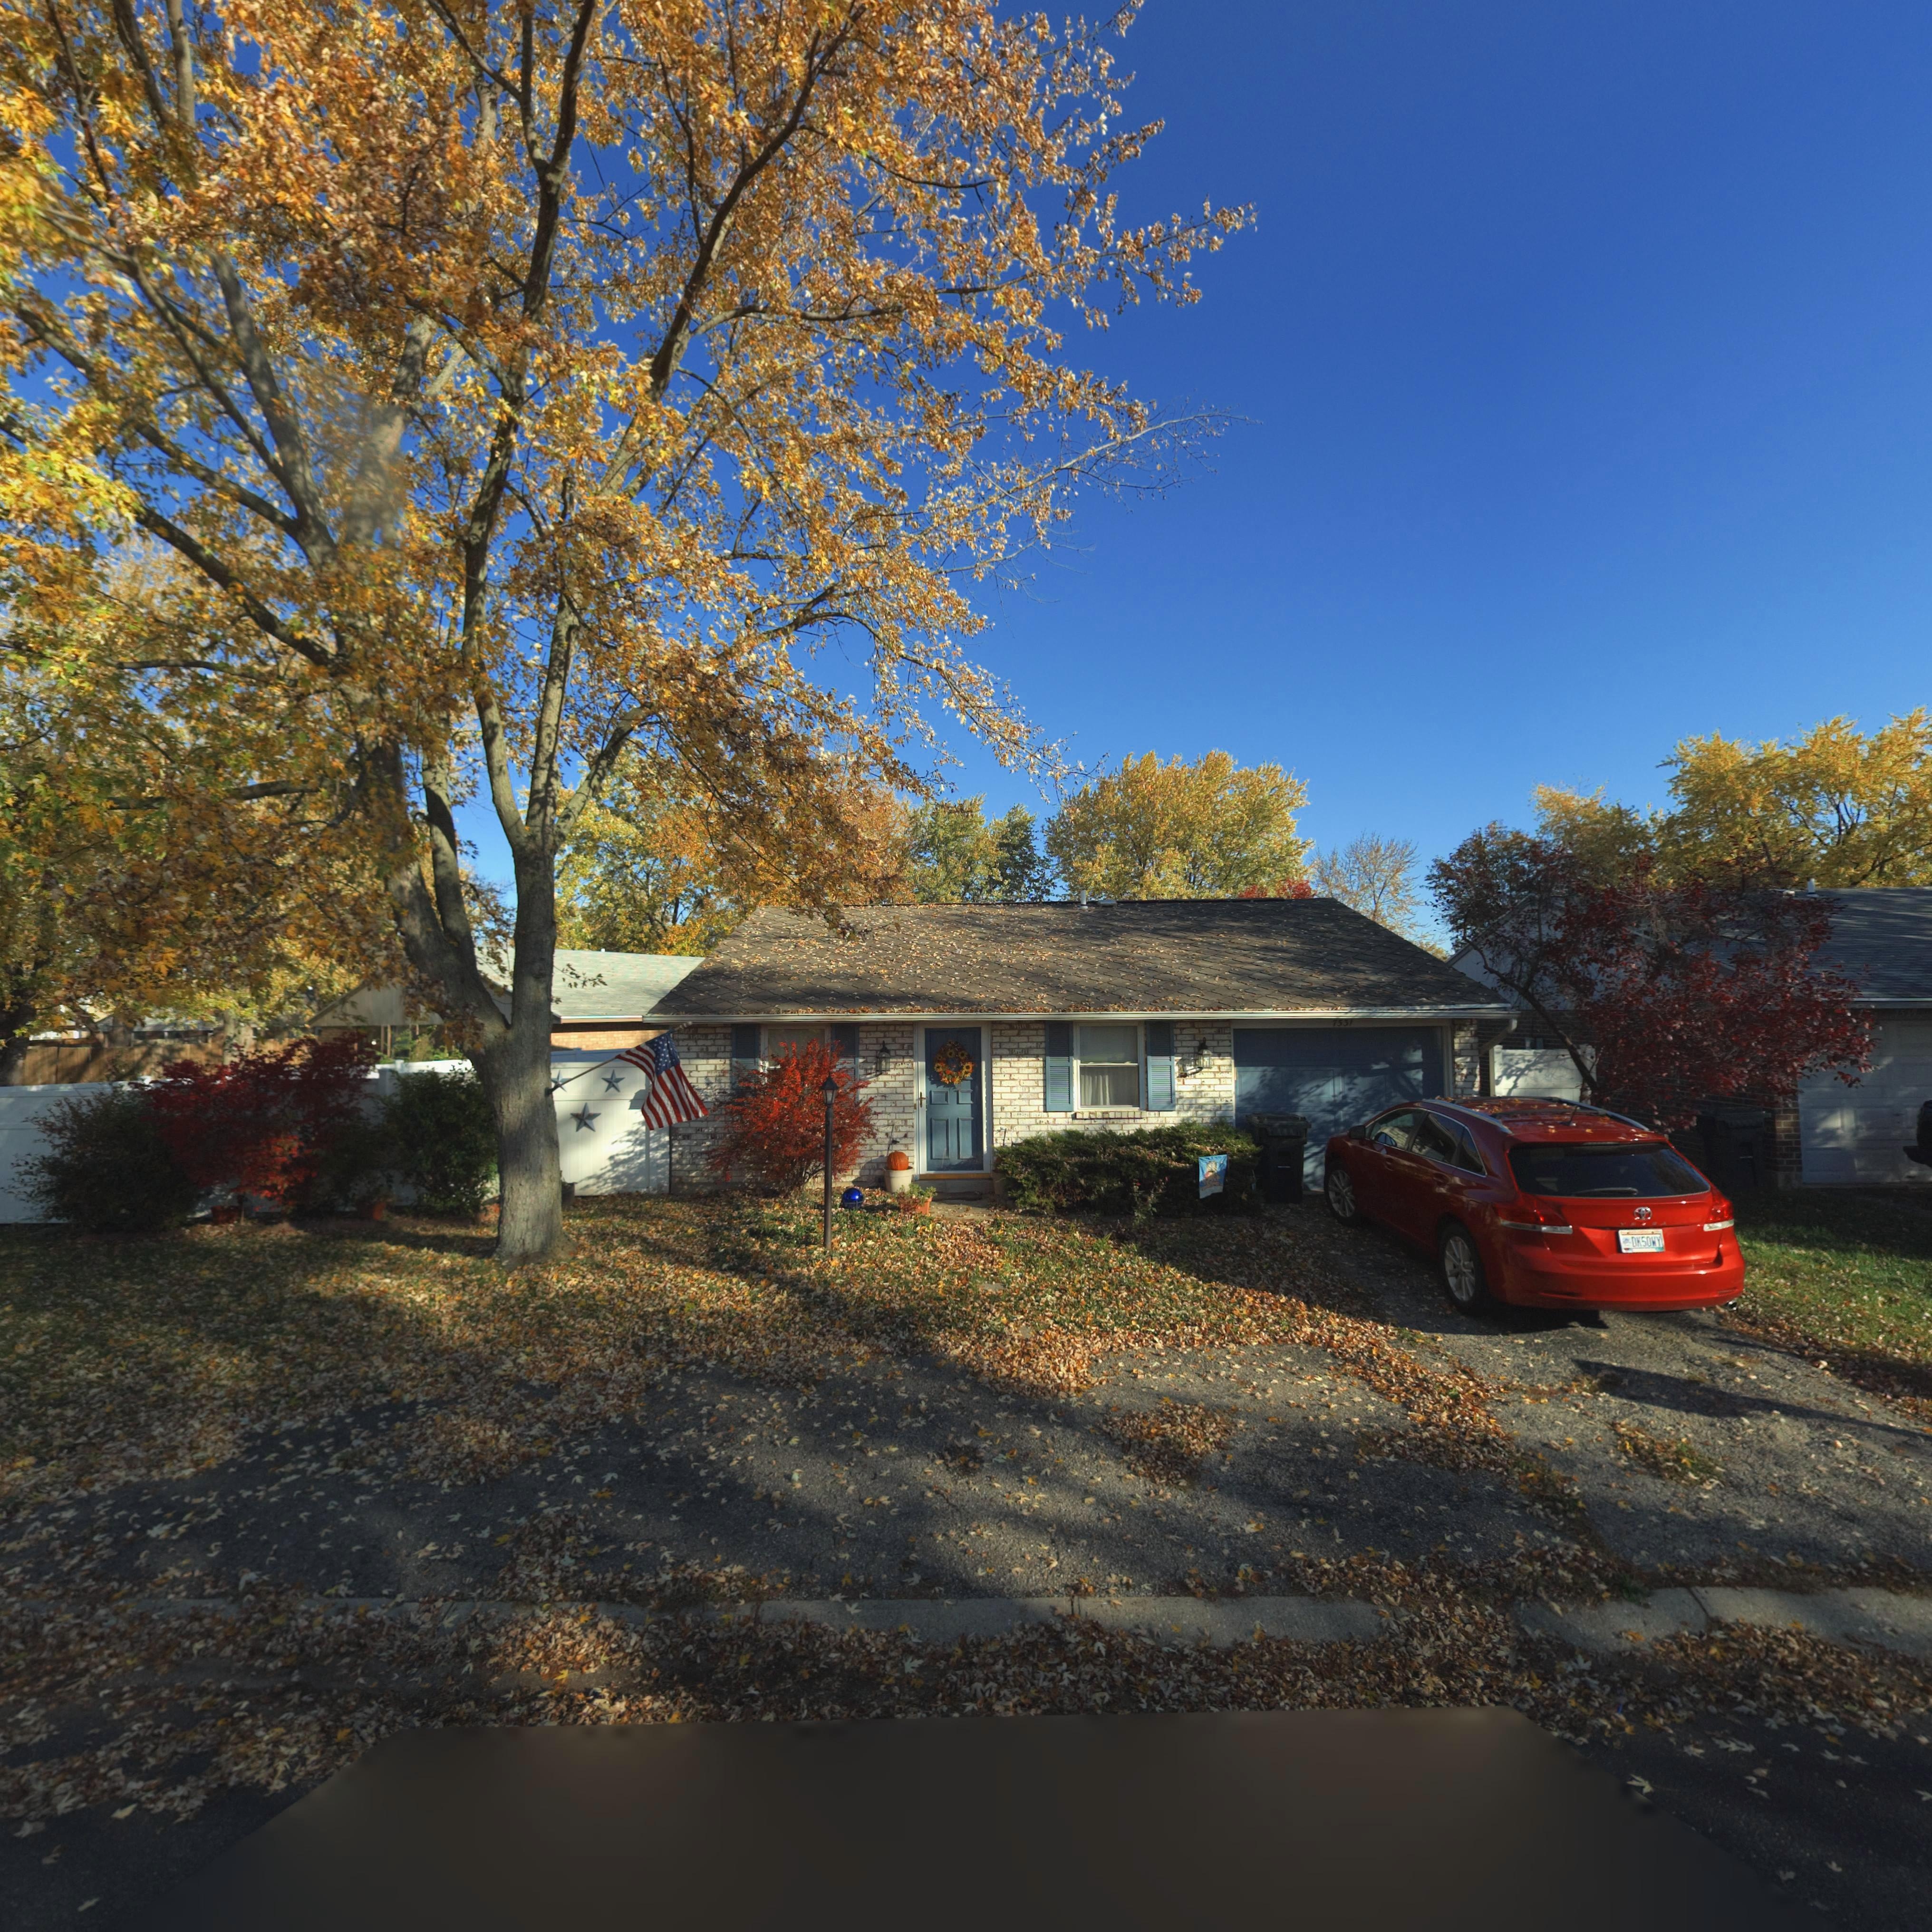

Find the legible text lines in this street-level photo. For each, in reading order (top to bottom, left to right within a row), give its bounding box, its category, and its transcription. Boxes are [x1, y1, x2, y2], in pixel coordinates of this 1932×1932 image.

[1331, 1018, 1354, 1028] StreetNumber: 7531
[1629, 1234, 1662, 1248] None: DK50OWY